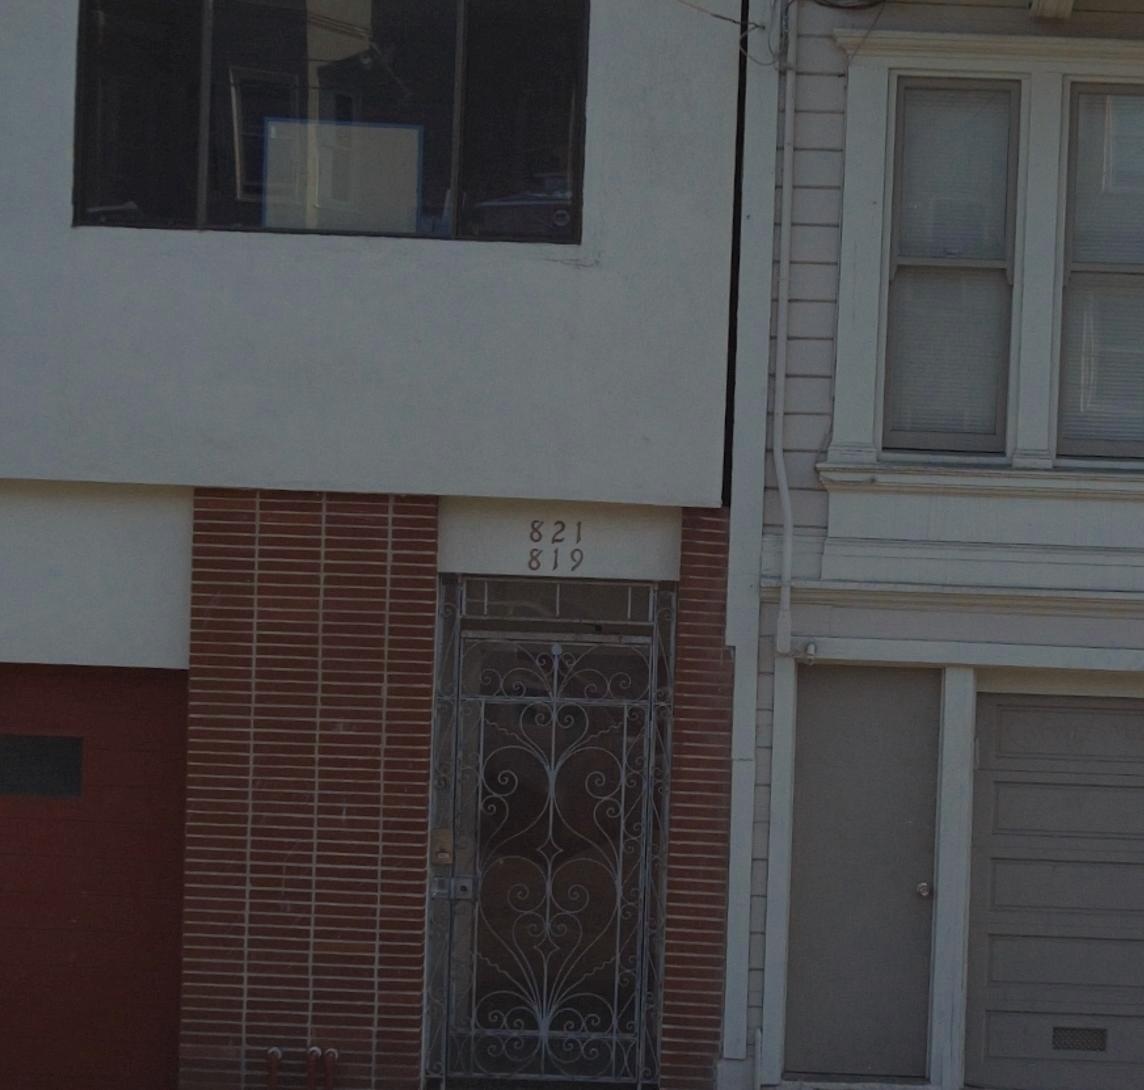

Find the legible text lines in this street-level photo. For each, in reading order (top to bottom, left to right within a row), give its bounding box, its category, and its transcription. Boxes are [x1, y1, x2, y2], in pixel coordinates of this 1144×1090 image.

[528, 516, 585, 545] StreetNumber: 821
[525, 543, 583, 572] StreetNumber: 819